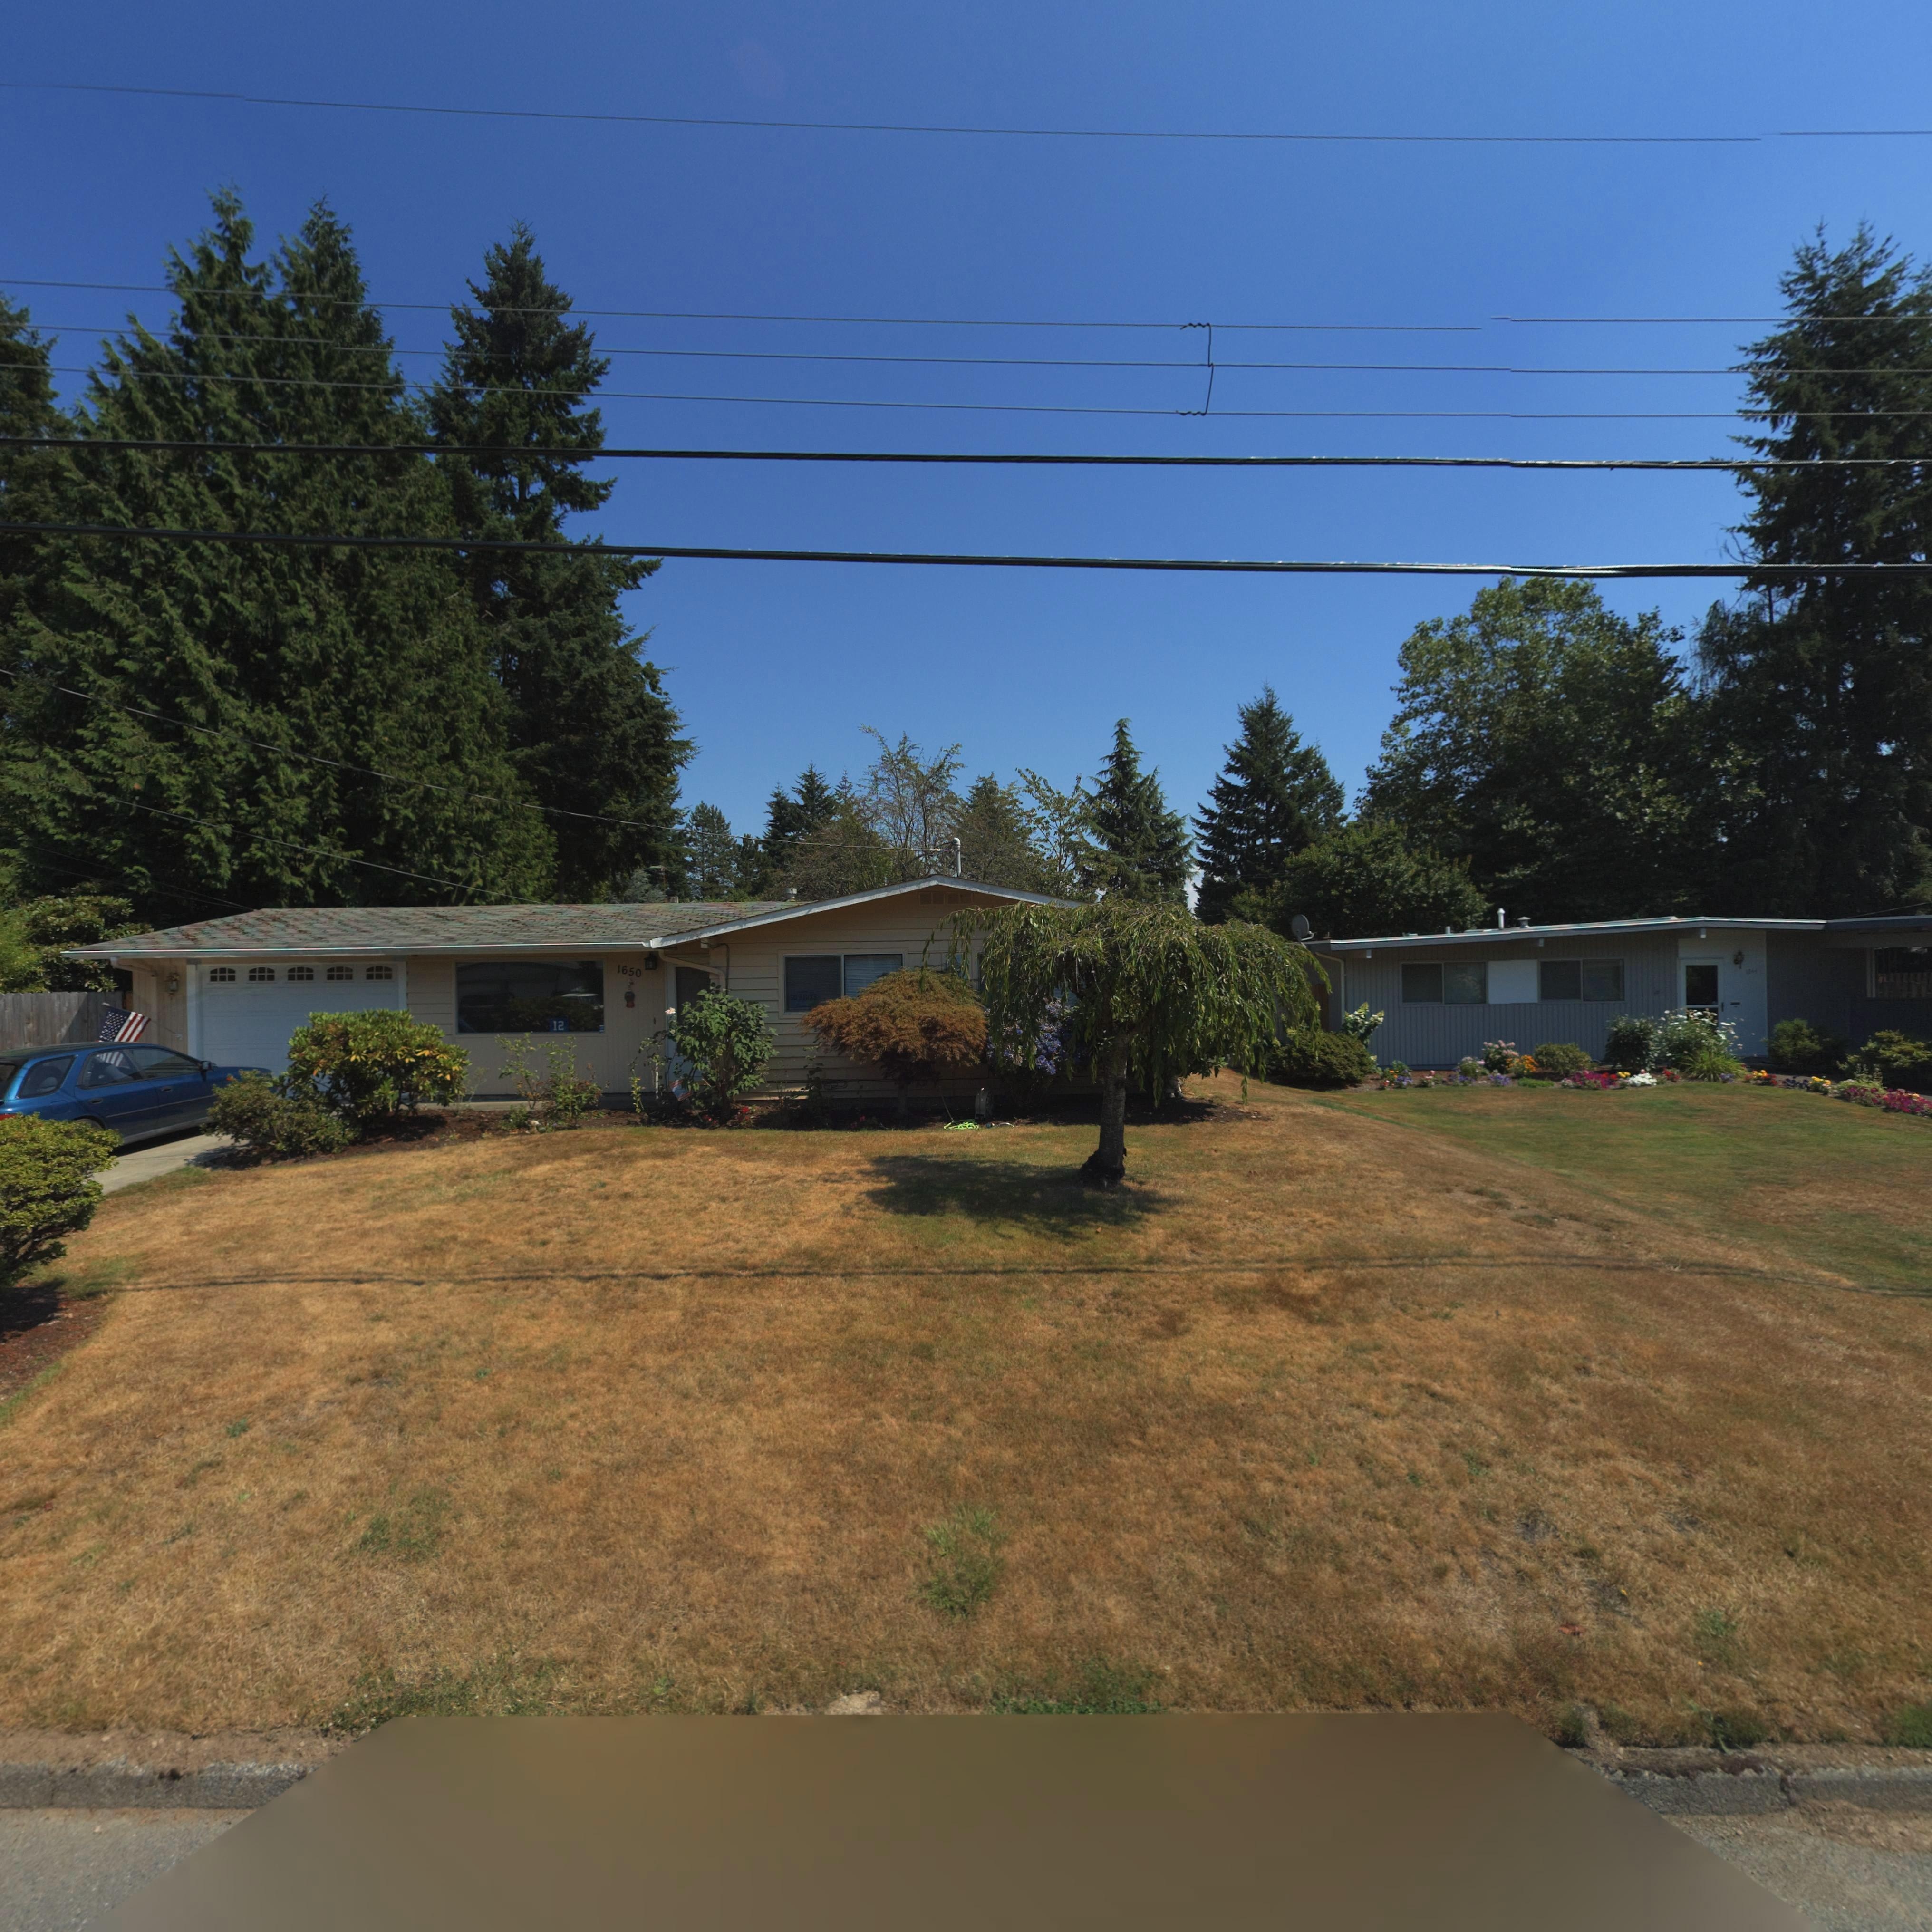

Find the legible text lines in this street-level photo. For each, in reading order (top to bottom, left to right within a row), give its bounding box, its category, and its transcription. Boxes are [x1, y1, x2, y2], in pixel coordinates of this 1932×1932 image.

[616, 962, 642, 979] StreetNumber: 1650